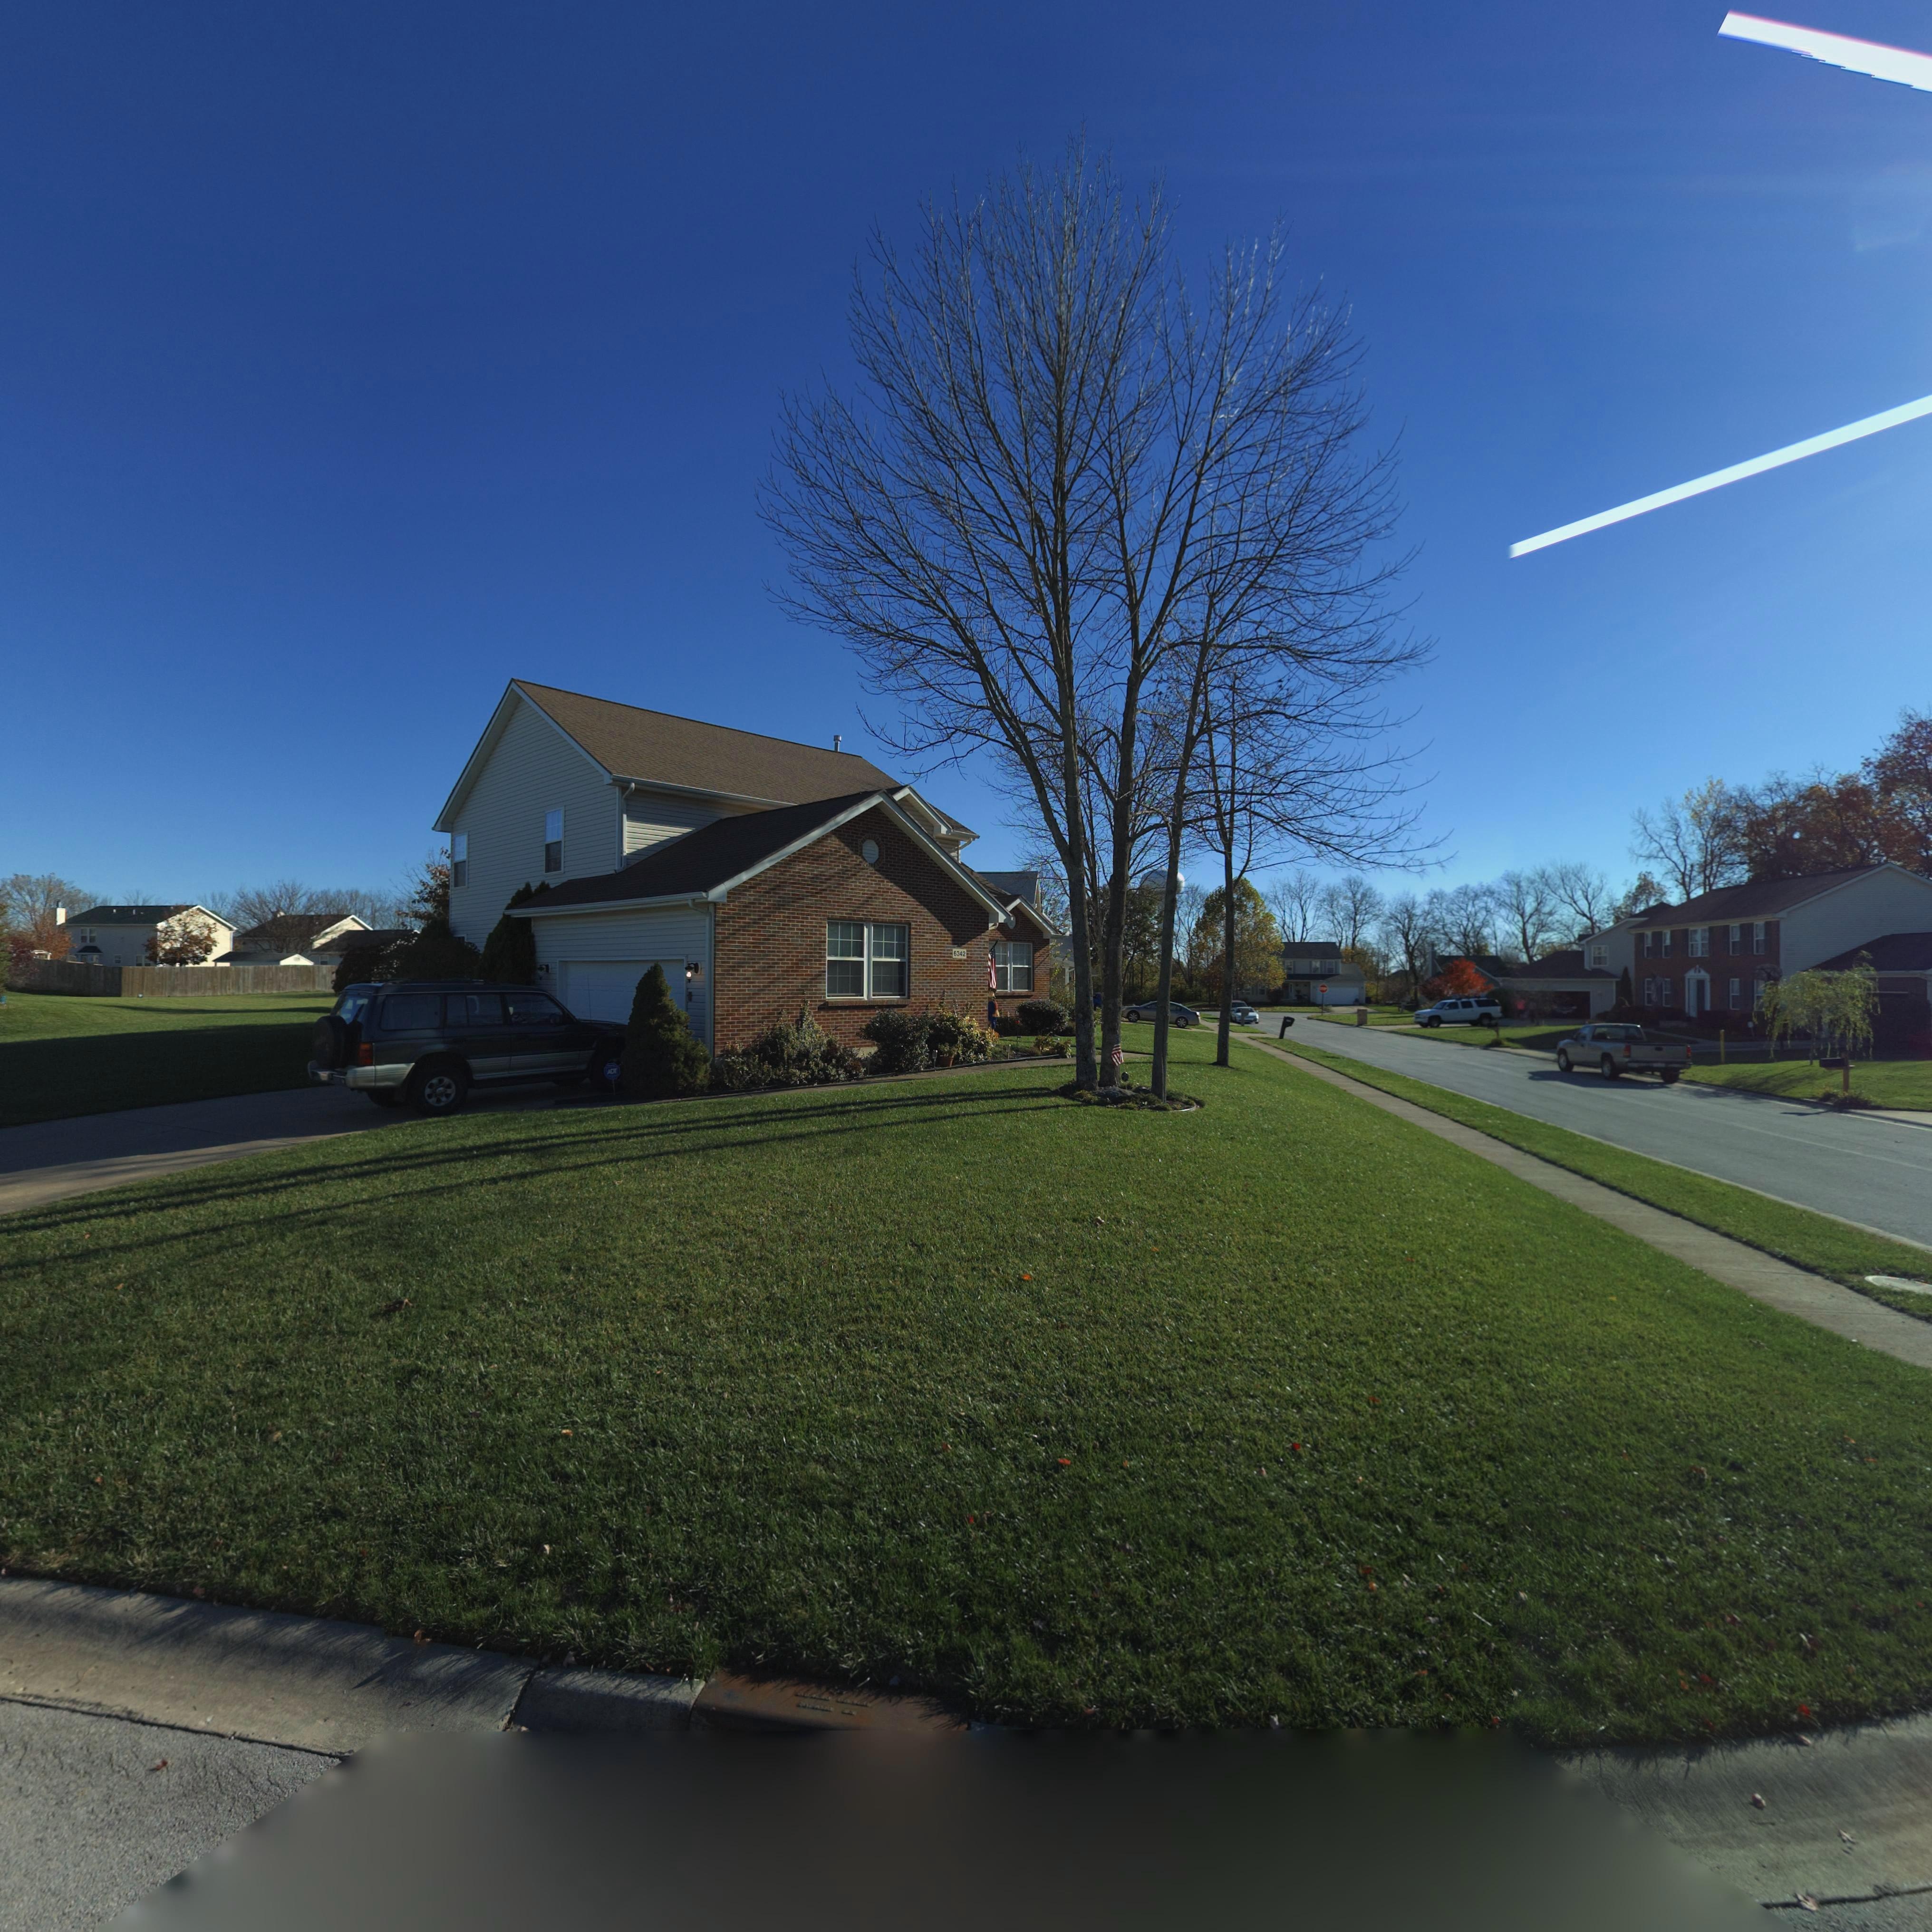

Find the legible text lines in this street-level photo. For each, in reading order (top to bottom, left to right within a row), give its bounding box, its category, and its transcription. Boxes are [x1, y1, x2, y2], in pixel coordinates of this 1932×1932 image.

[954, 950, 966, 956] StreetNumber: 6342